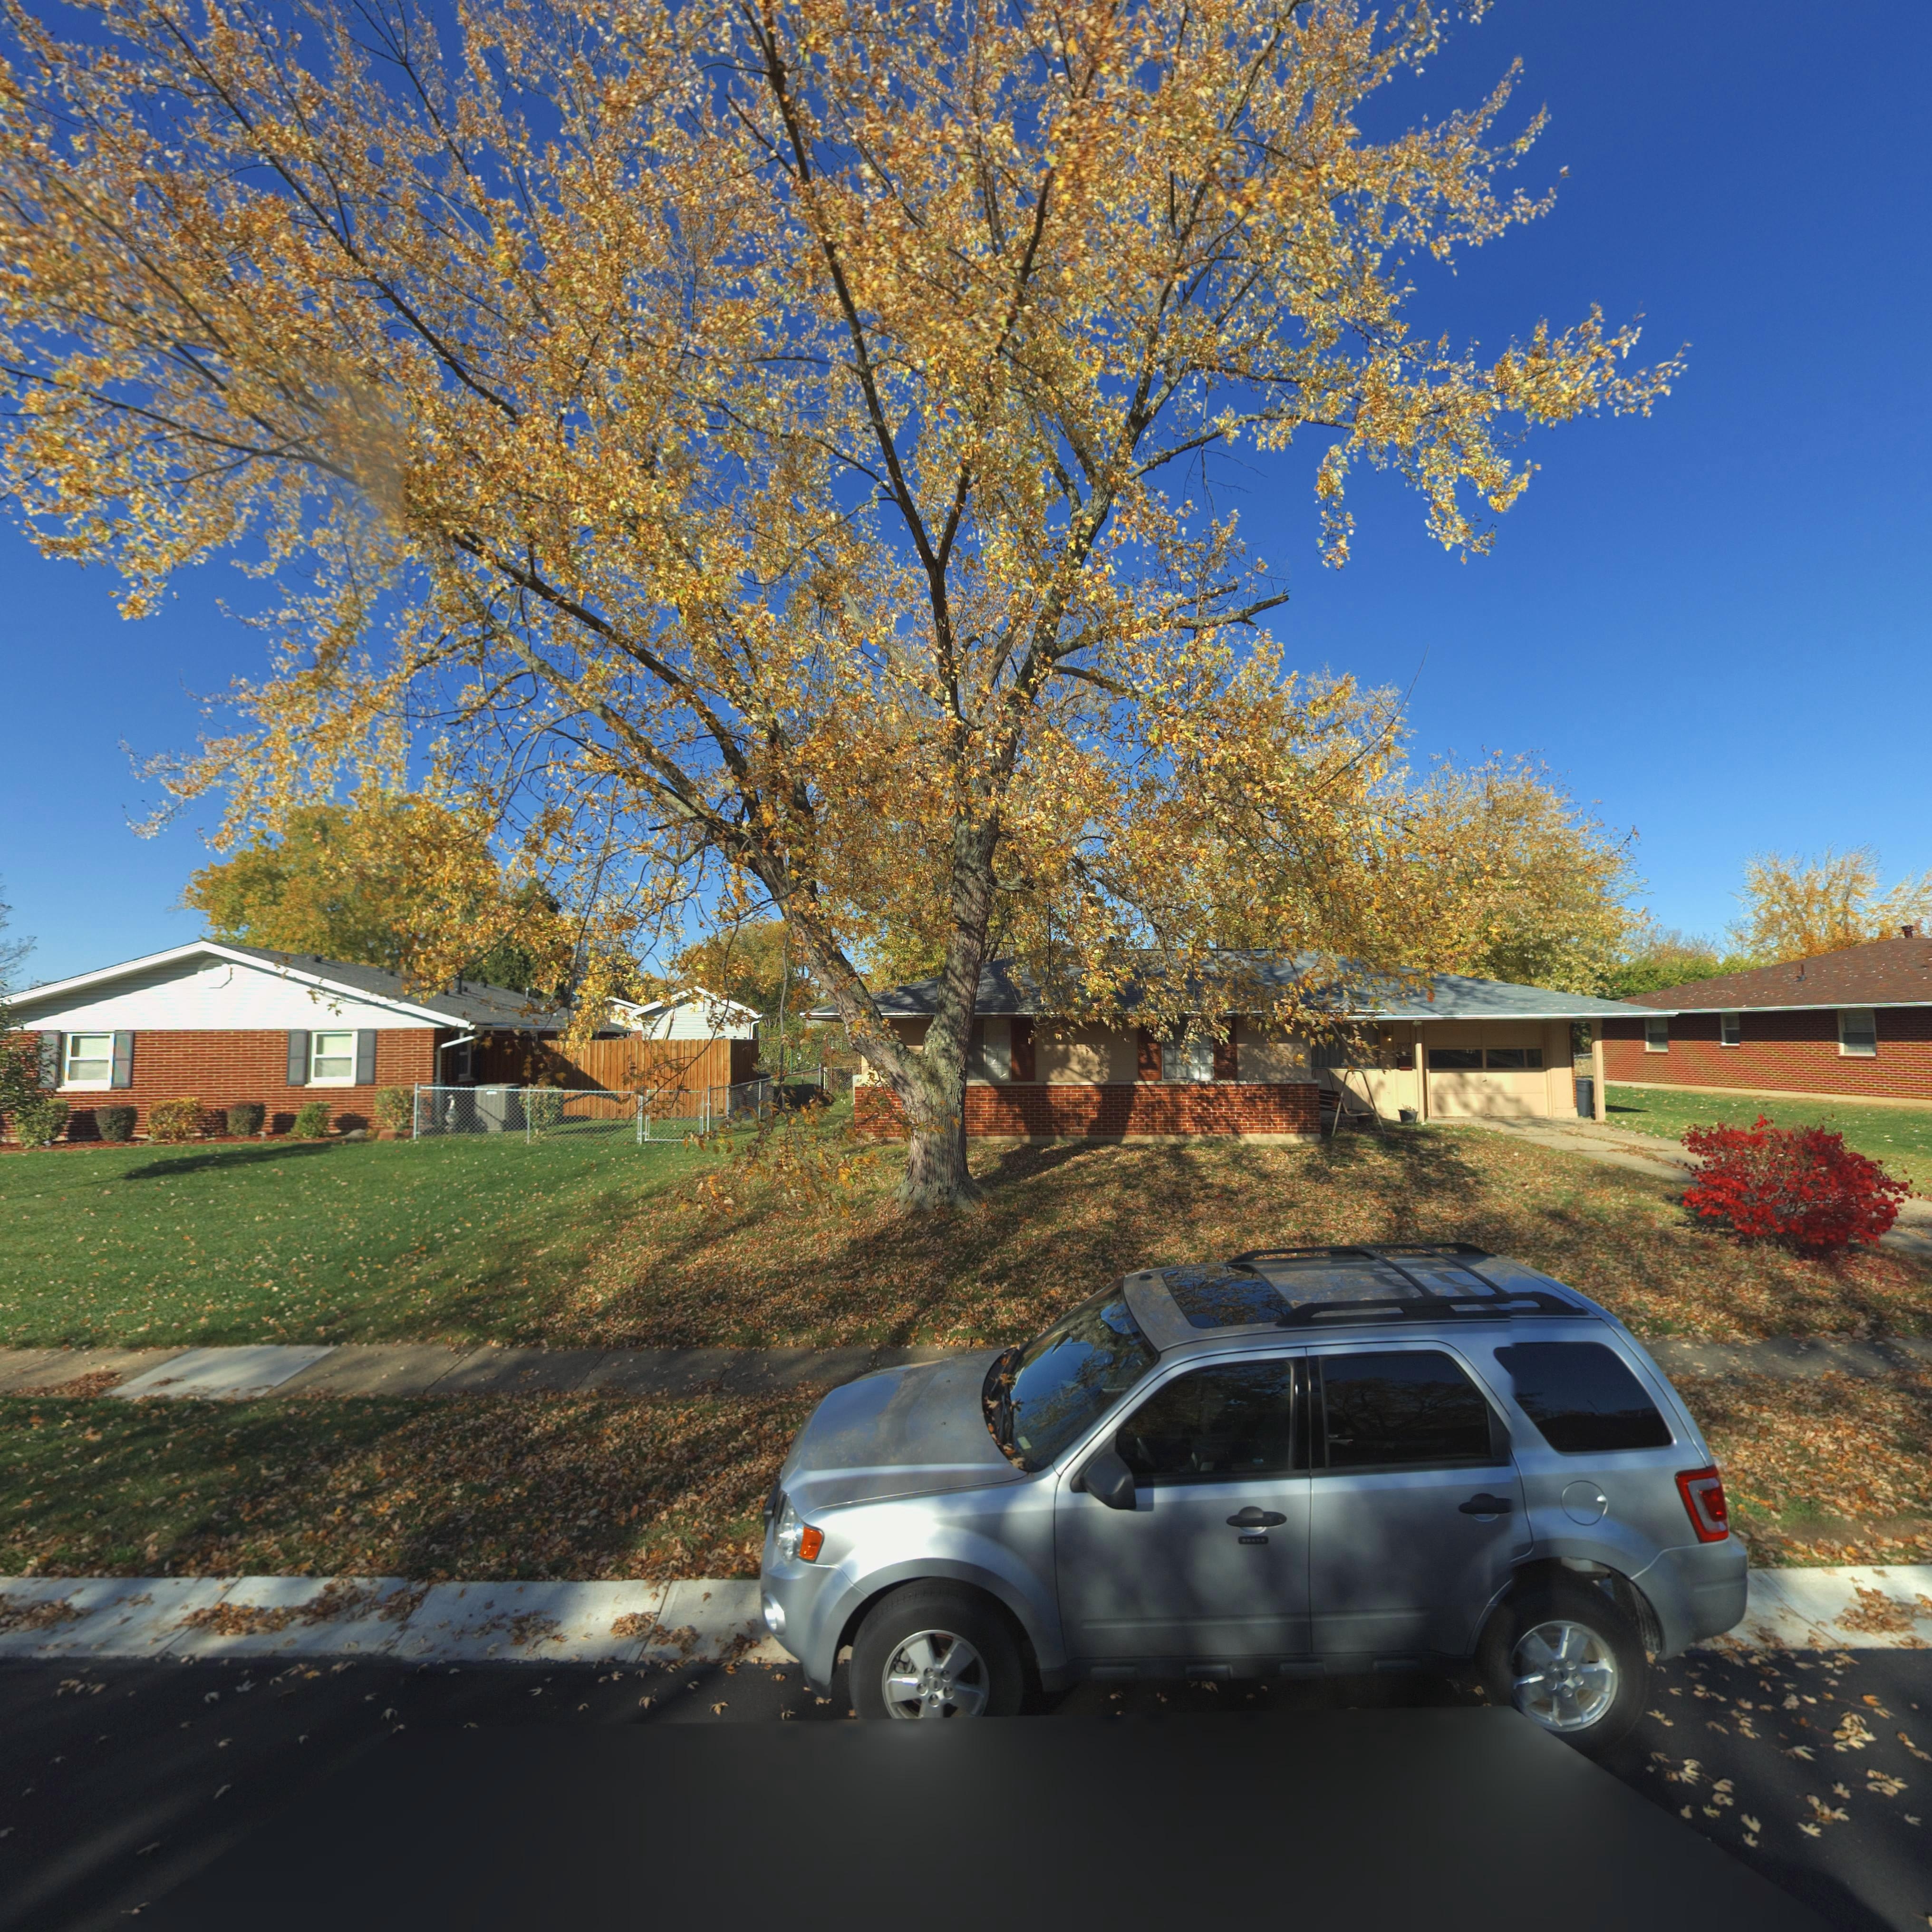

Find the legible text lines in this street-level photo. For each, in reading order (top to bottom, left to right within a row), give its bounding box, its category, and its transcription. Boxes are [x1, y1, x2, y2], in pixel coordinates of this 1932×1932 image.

[1394, 1041, 1412, 1051] StreetNumber: 7**7